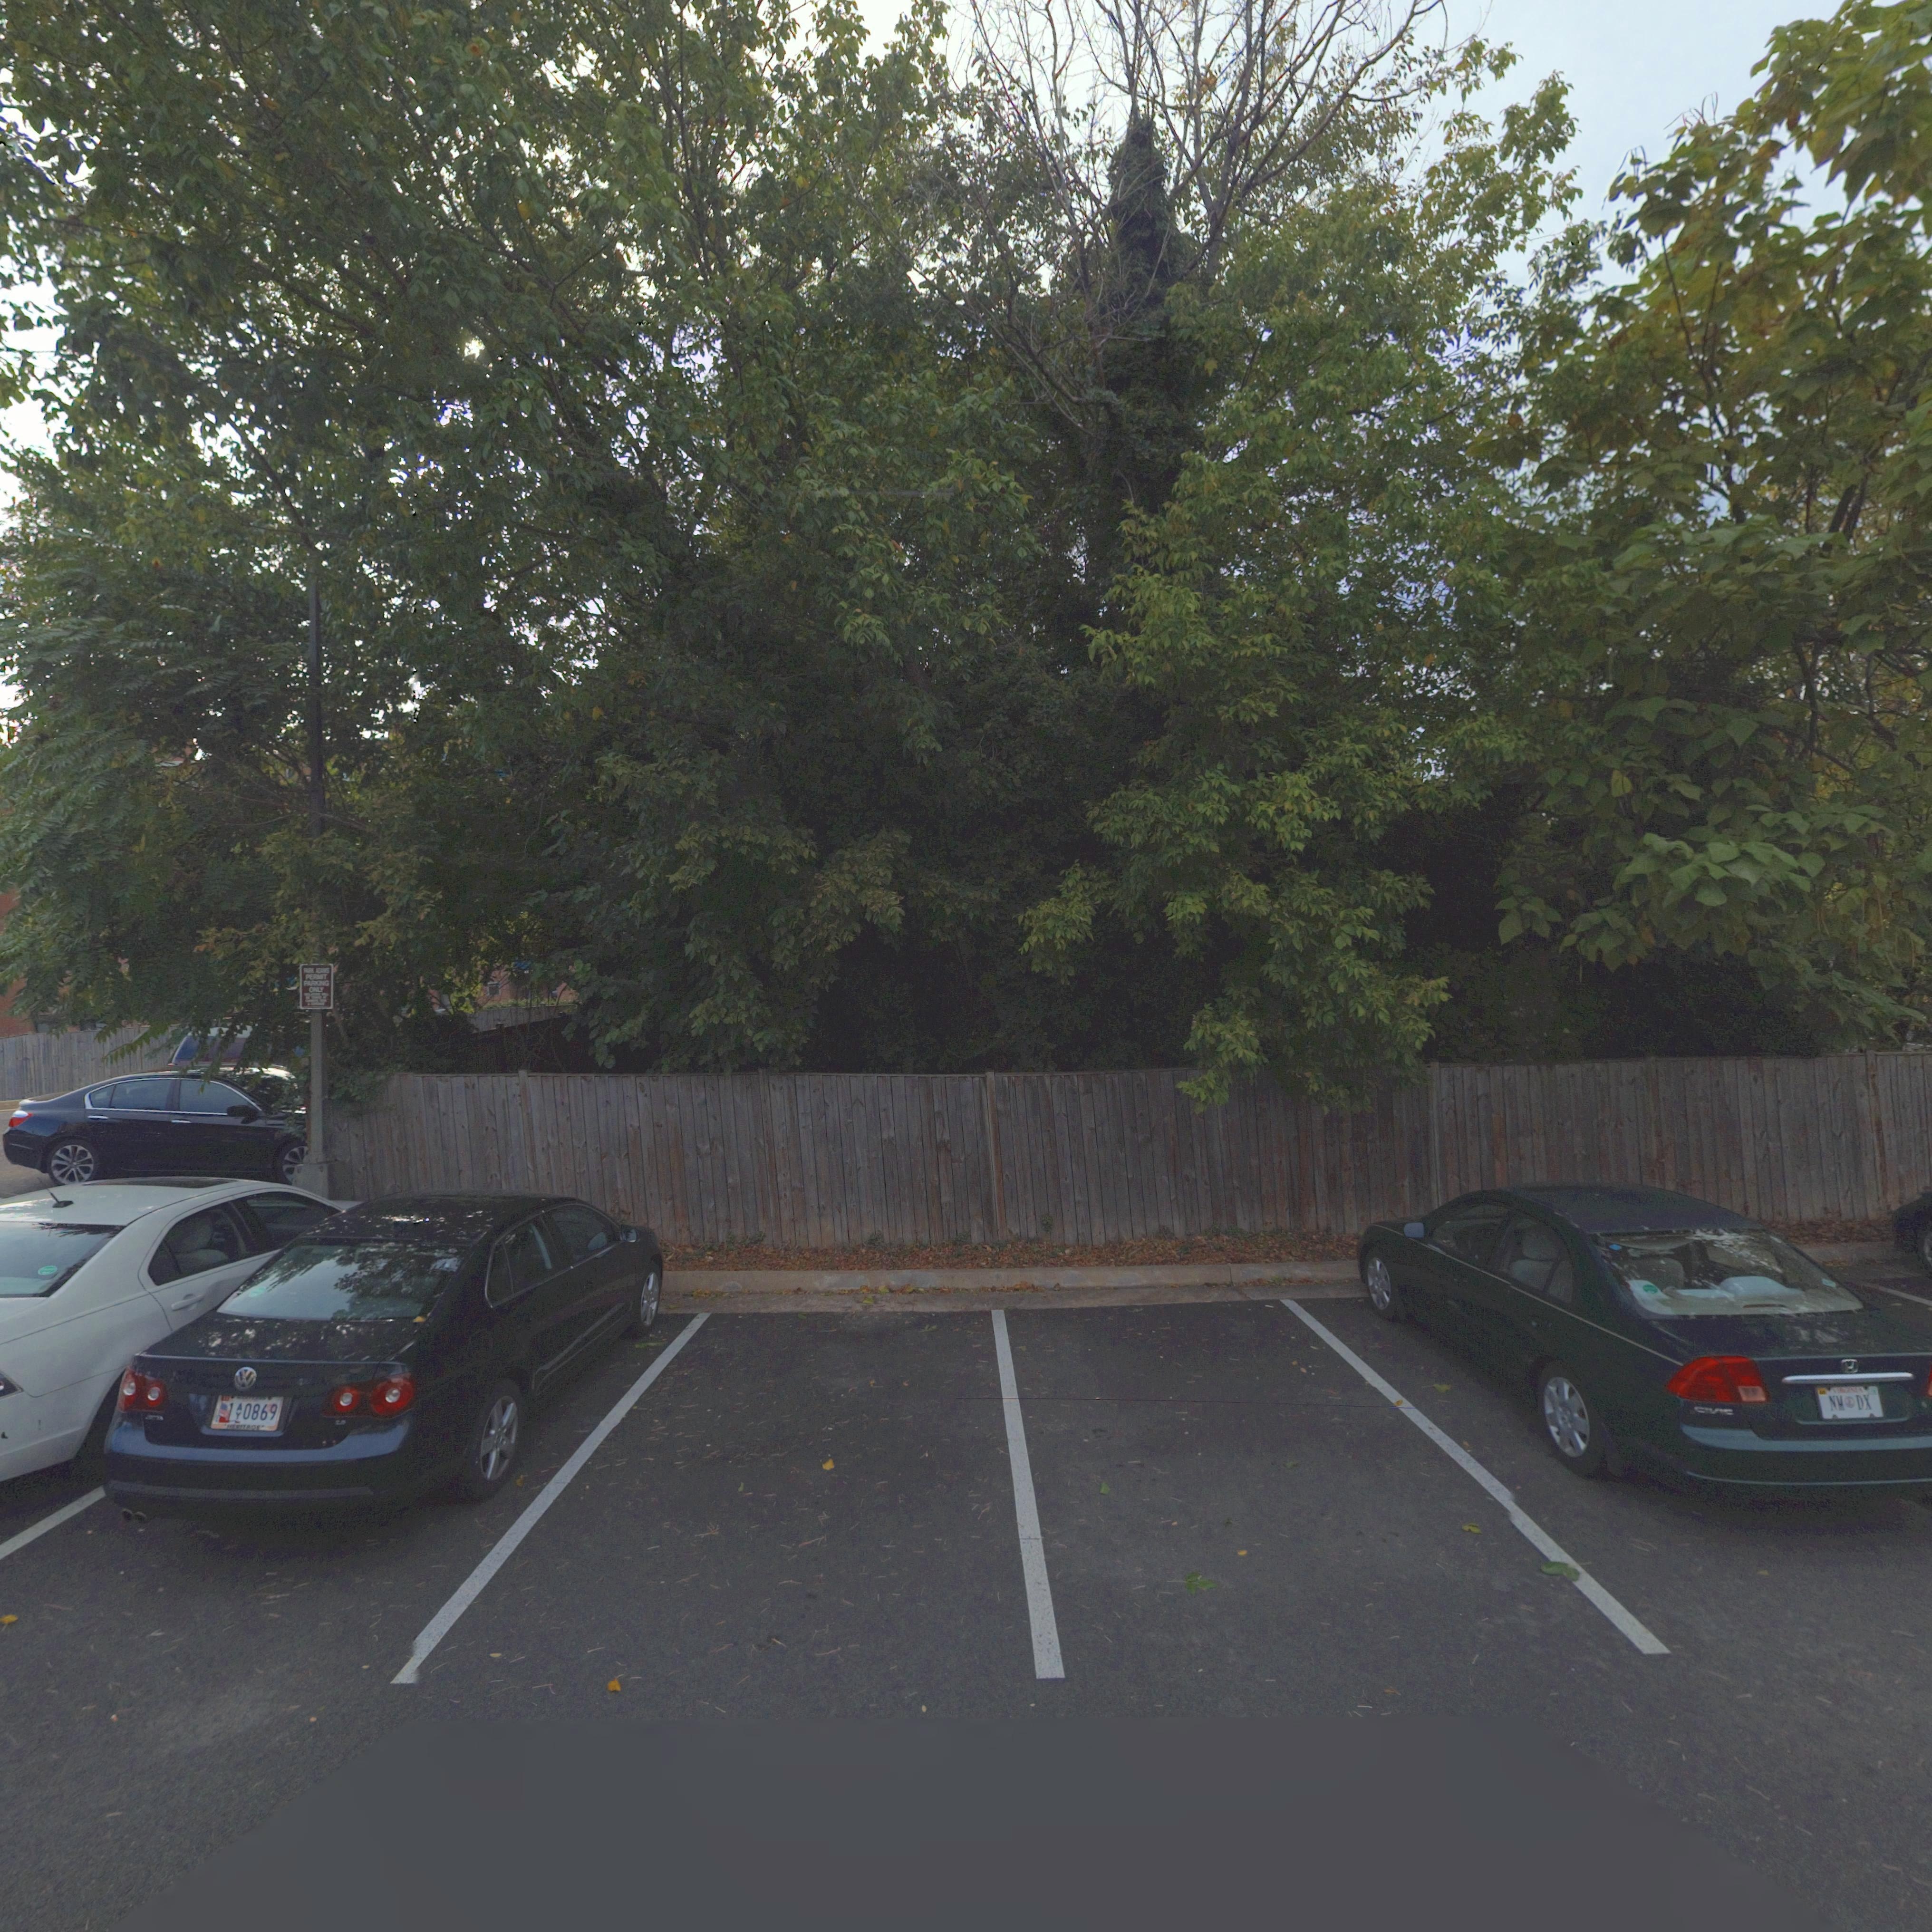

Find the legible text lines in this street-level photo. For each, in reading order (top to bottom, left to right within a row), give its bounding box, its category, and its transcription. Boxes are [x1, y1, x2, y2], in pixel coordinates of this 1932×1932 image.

[303, 967, 330, 974] None: PARK ****S
[305, 974, 328, 980] None: PERMIT
[303, 980, 330, 986] None: PARKING
[309, 986, 325, 993] None: ONLY
[1828, 1394, 1873, 1411] None: NM * DX
[226, 1402, 235, 1420] None: 1
[235, 1402, 243, 1420] None: AY
[242, 1402, 279, 1421] None: 0869
[1694, 1406, 1734, 1416] None: CIVIC
[225, 1424, 261, 1430] None: HERITAGE